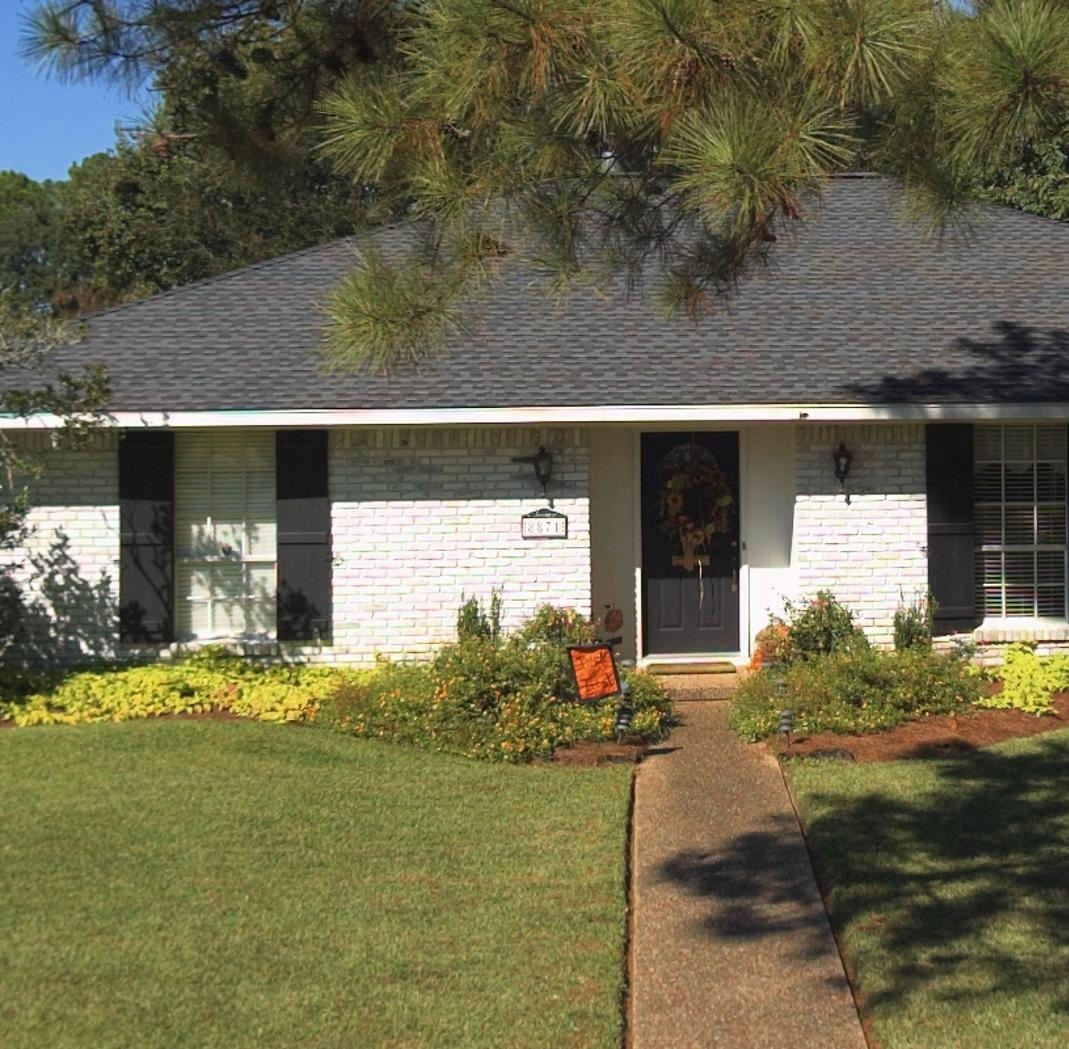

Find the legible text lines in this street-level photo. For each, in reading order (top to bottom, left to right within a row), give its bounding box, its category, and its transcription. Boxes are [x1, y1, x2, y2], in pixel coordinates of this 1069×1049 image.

[526, 520, 561, 535] StreetNumber: 8871